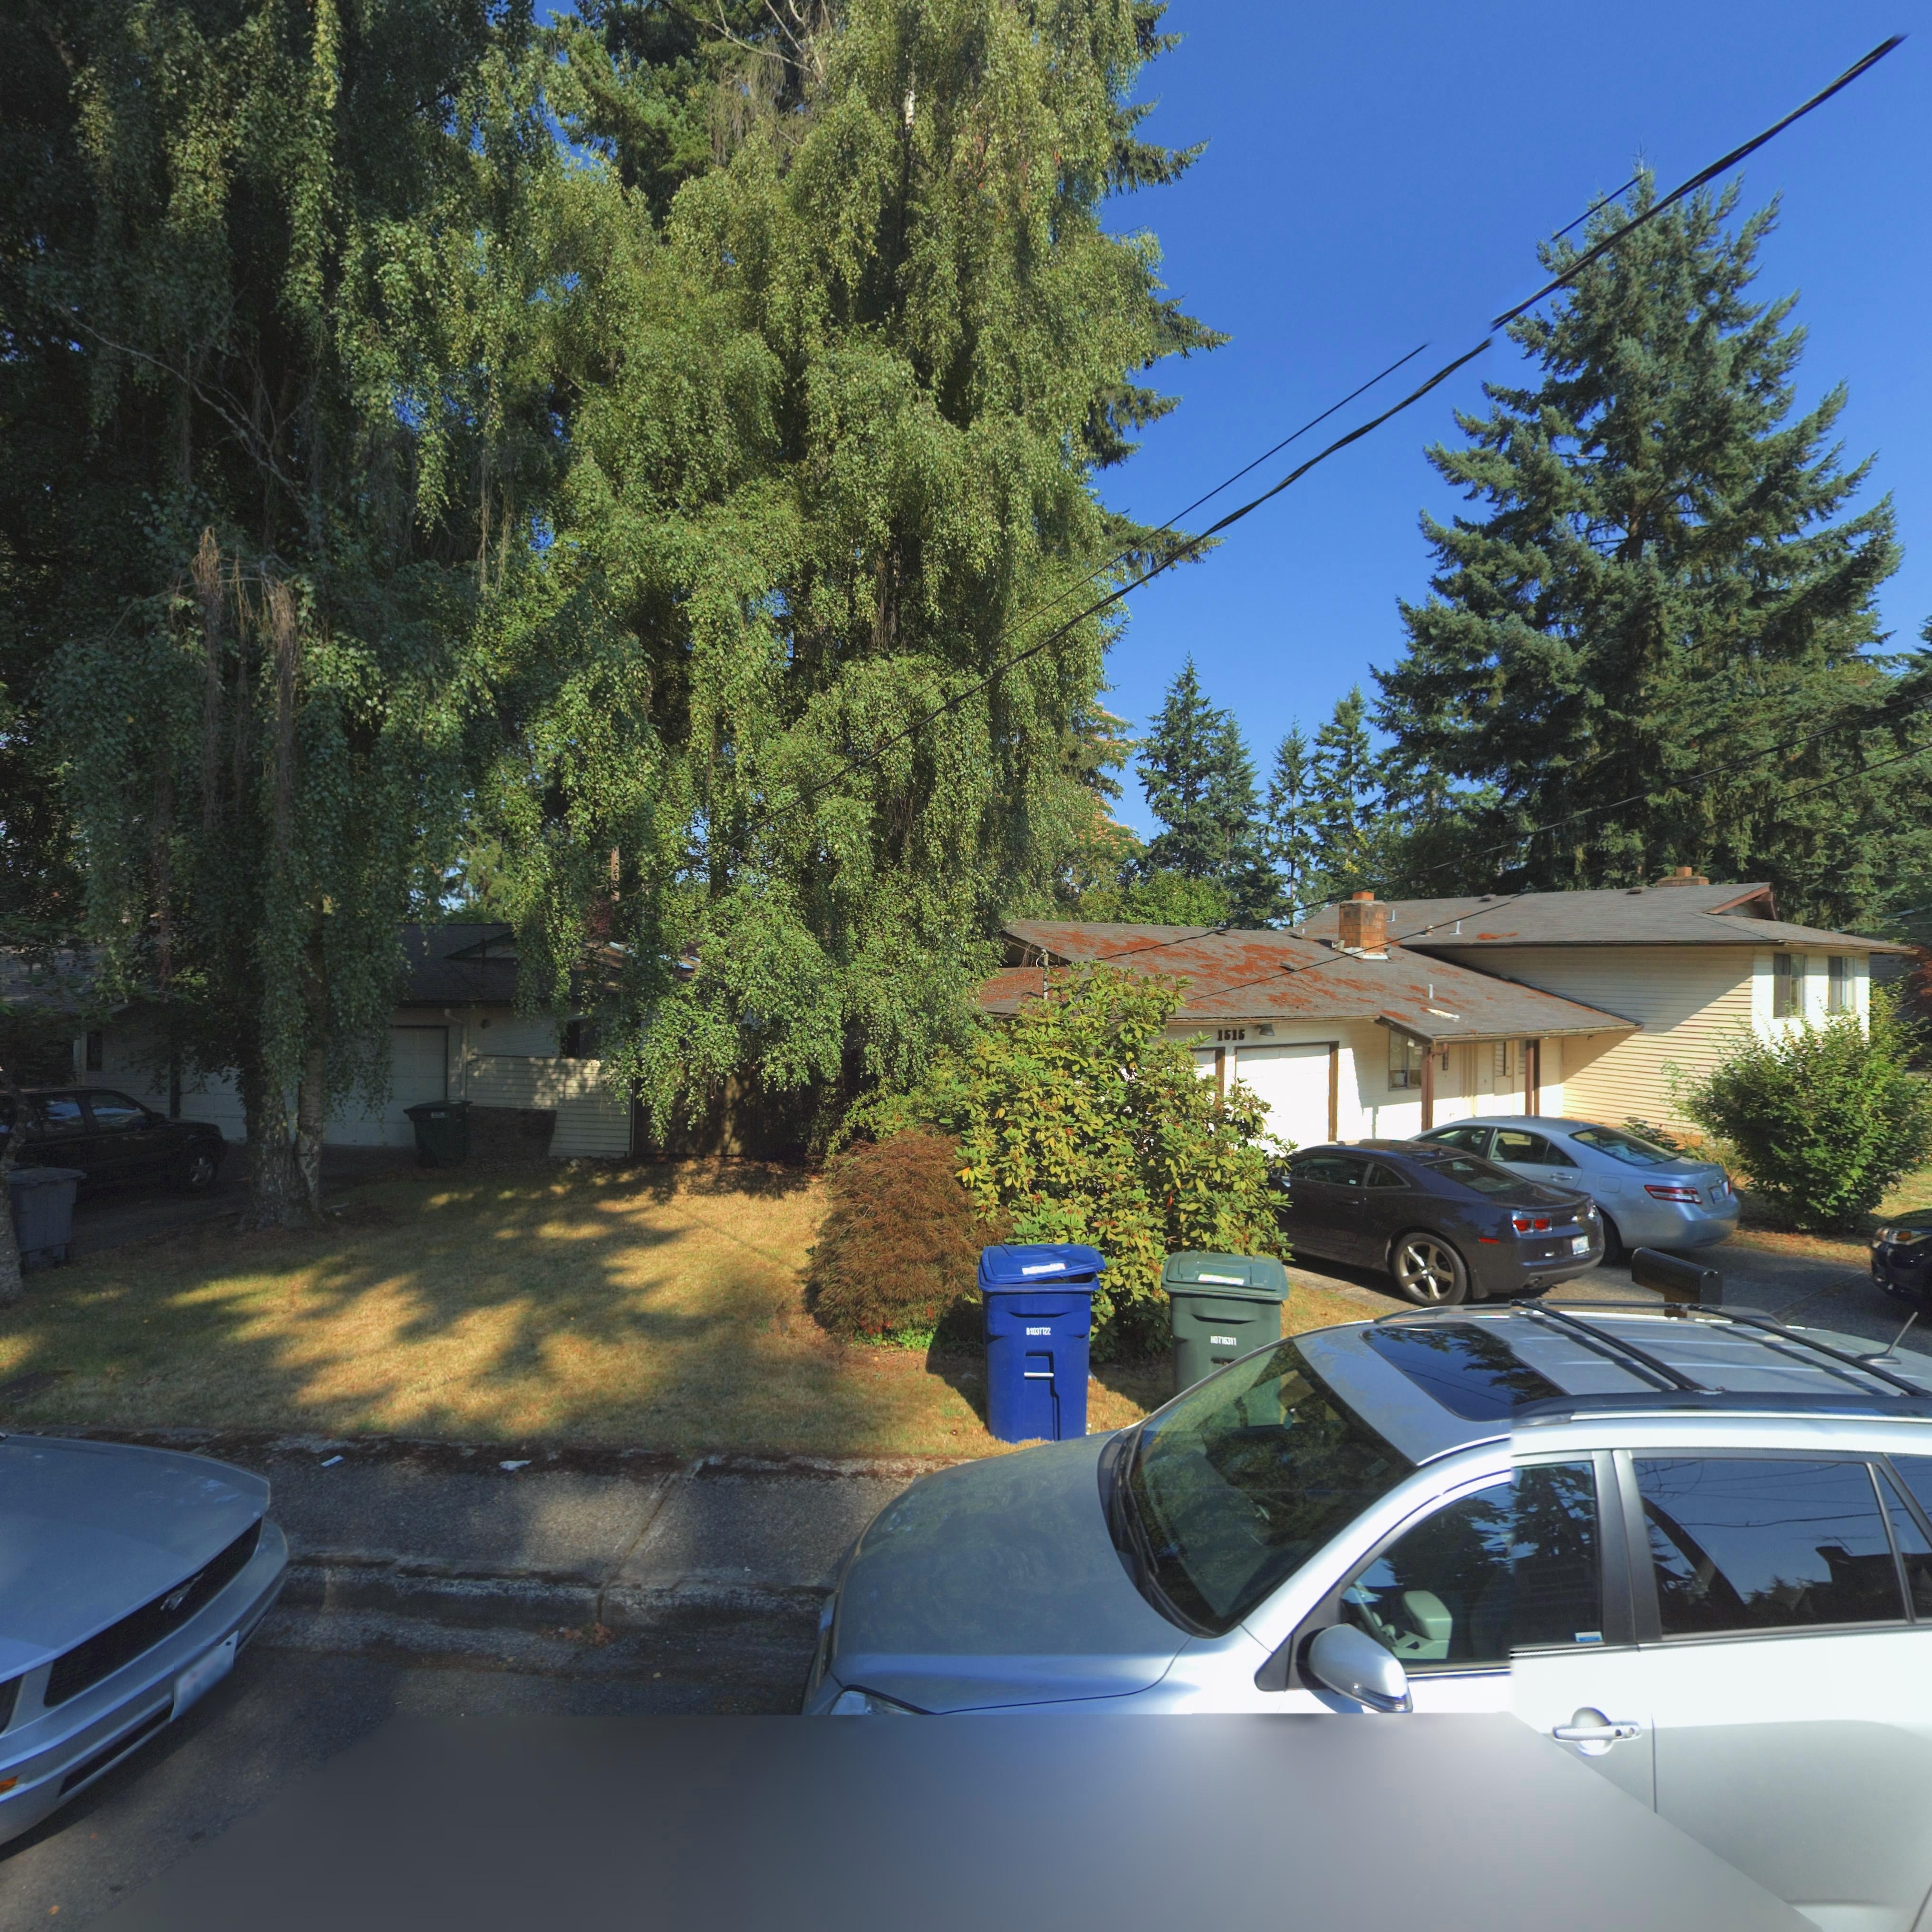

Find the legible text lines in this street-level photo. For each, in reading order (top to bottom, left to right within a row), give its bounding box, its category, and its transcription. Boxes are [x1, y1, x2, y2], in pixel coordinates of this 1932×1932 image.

[1216, 1026, 1246, 1042] StreetNumber: 1515